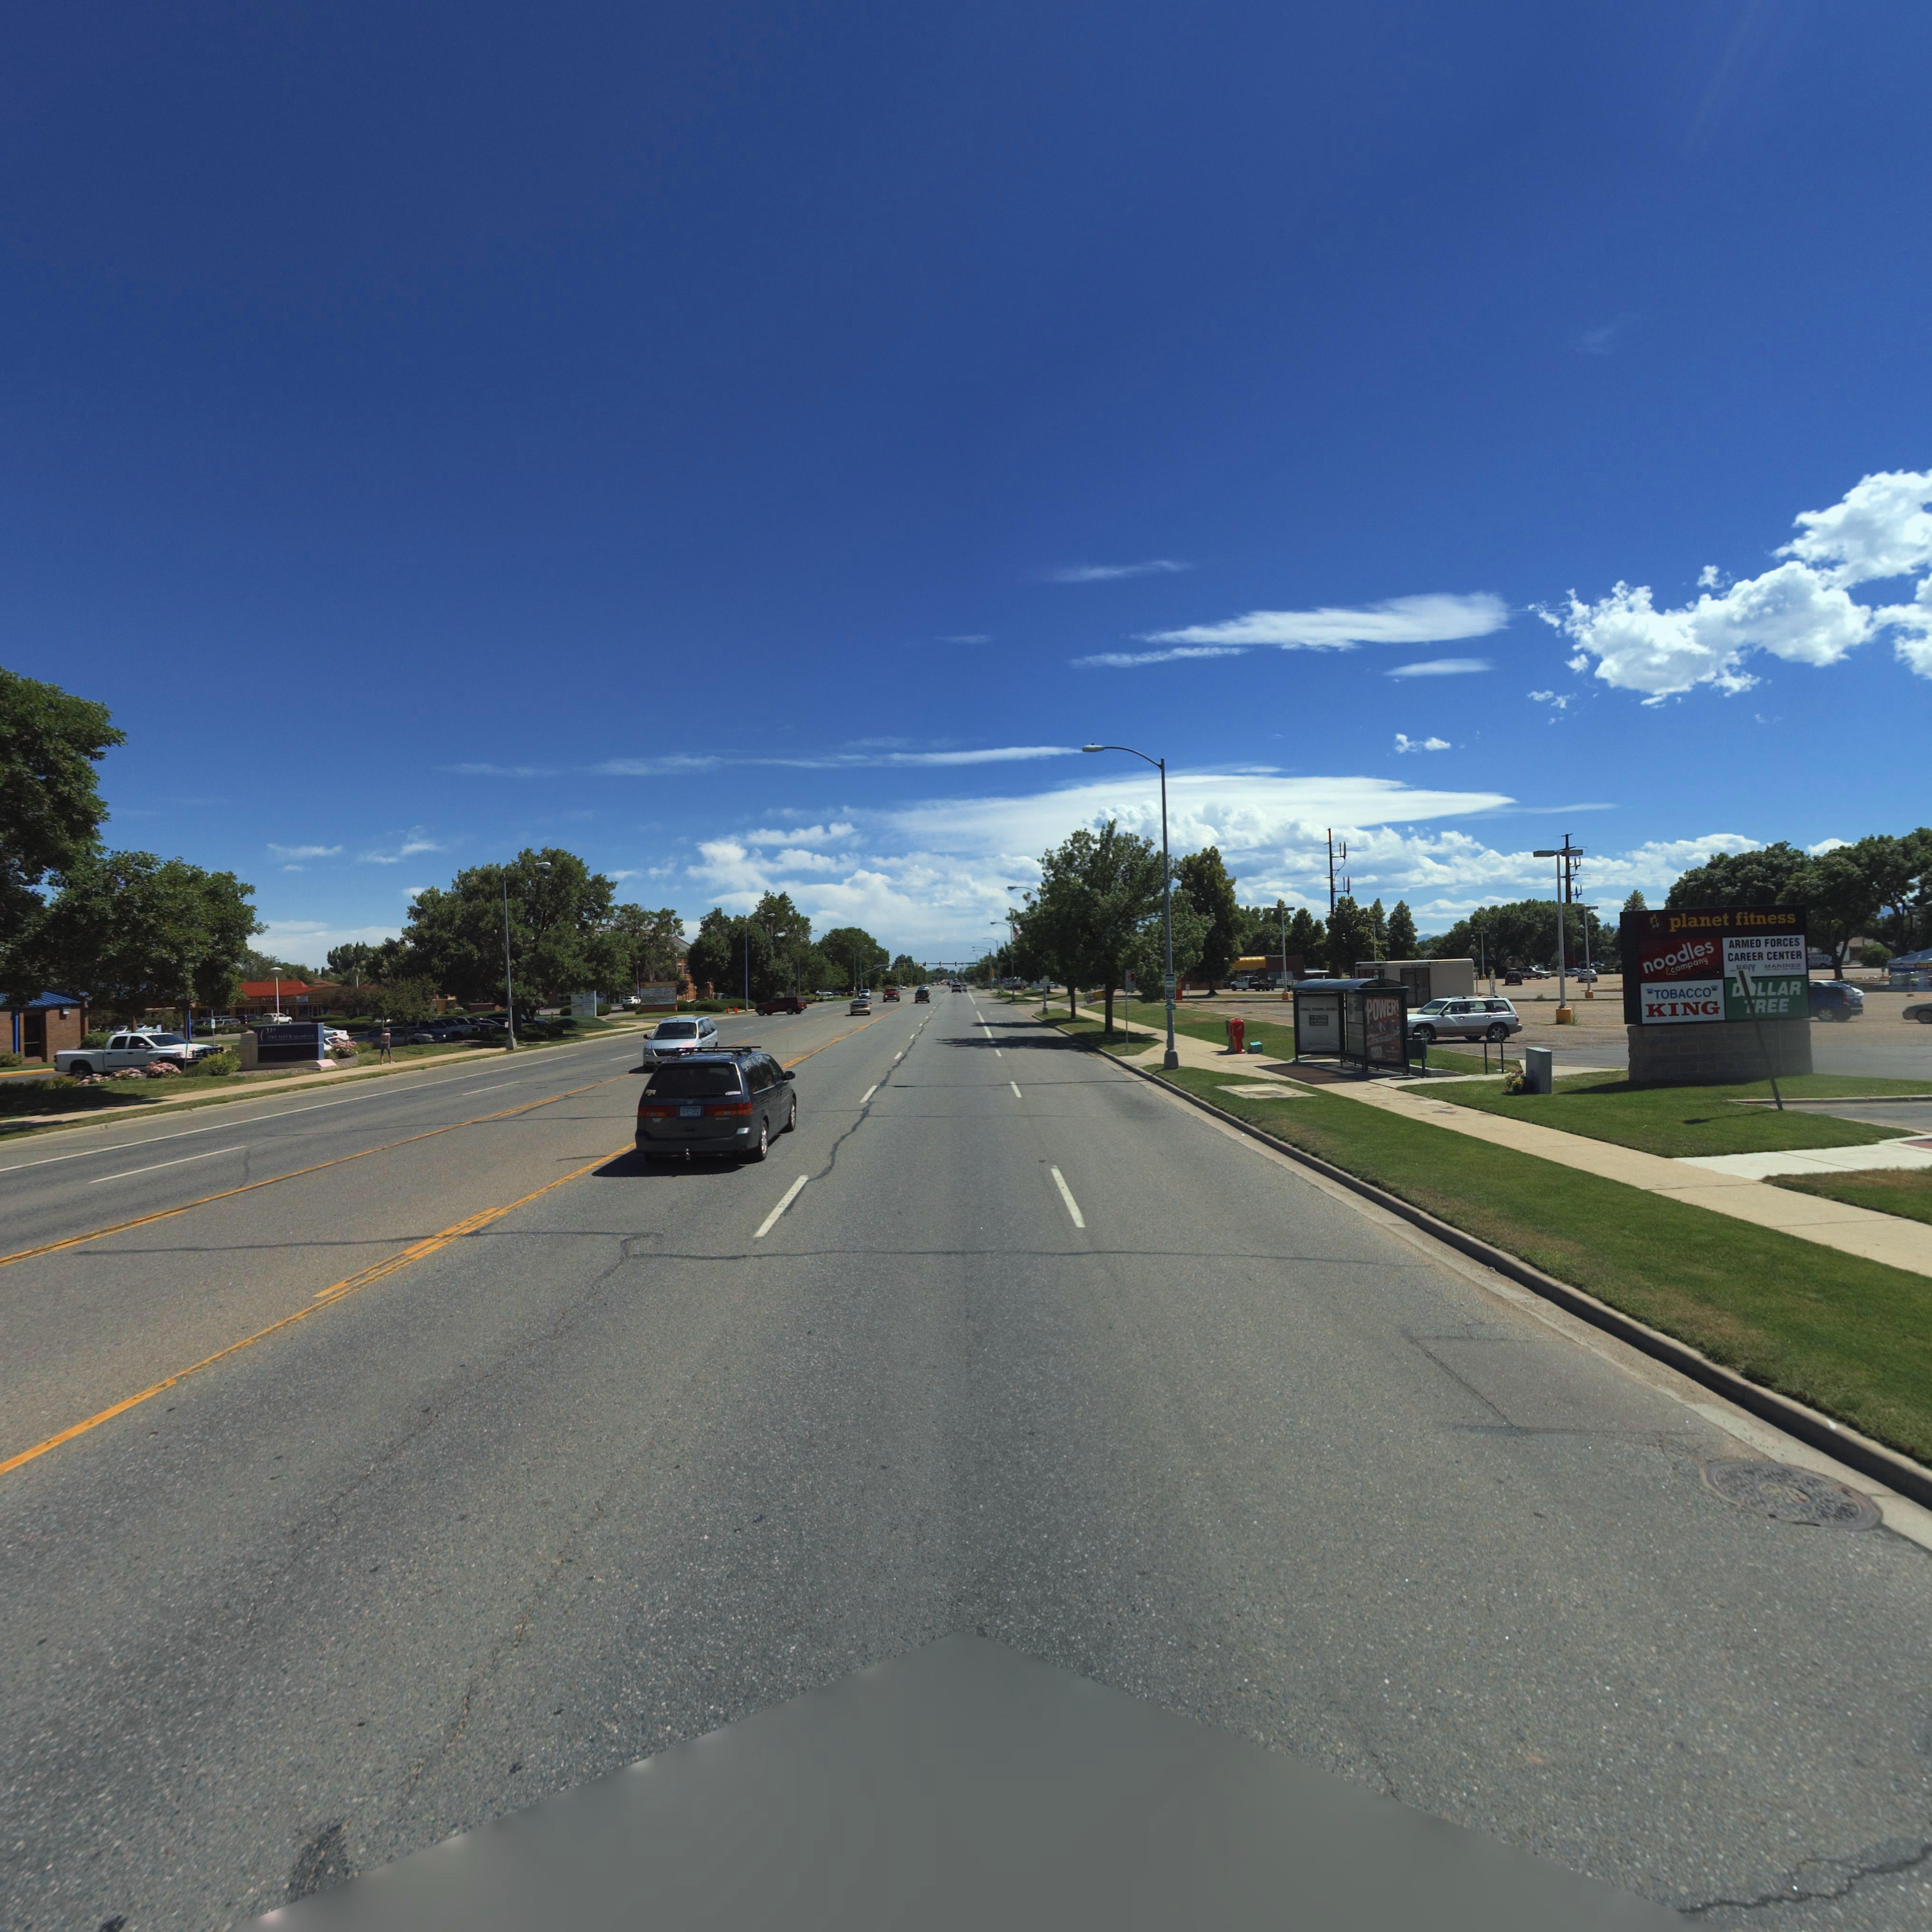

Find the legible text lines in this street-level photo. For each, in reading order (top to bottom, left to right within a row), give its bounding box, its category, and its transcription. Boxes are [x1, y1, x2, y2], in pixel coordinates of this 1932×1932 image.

[1669, 911, 1796, 933] BusinessName: planet fitness
[1728, 937, 1800, 949] BusinessName: ARMED FORCES
[1642, 940, 1714, 974] BusinessName: noodles
[1727, 950, 1802, 962] BusinessName: CAREER CENTER
[1664, 956, 1709, 976] BusinessName: * company
[1653, 987, 1711, 999] BusinessName: TABACCO
[1731, 980, 1801, 997] BusinessName: **LLAR
[1645, 1000, 1720, 1017] BusinessName: KING
[1744, 998, 1789, 1014] BusinessName: *REE
[268, 1034, 292, 1039] BusinessName: ***M***